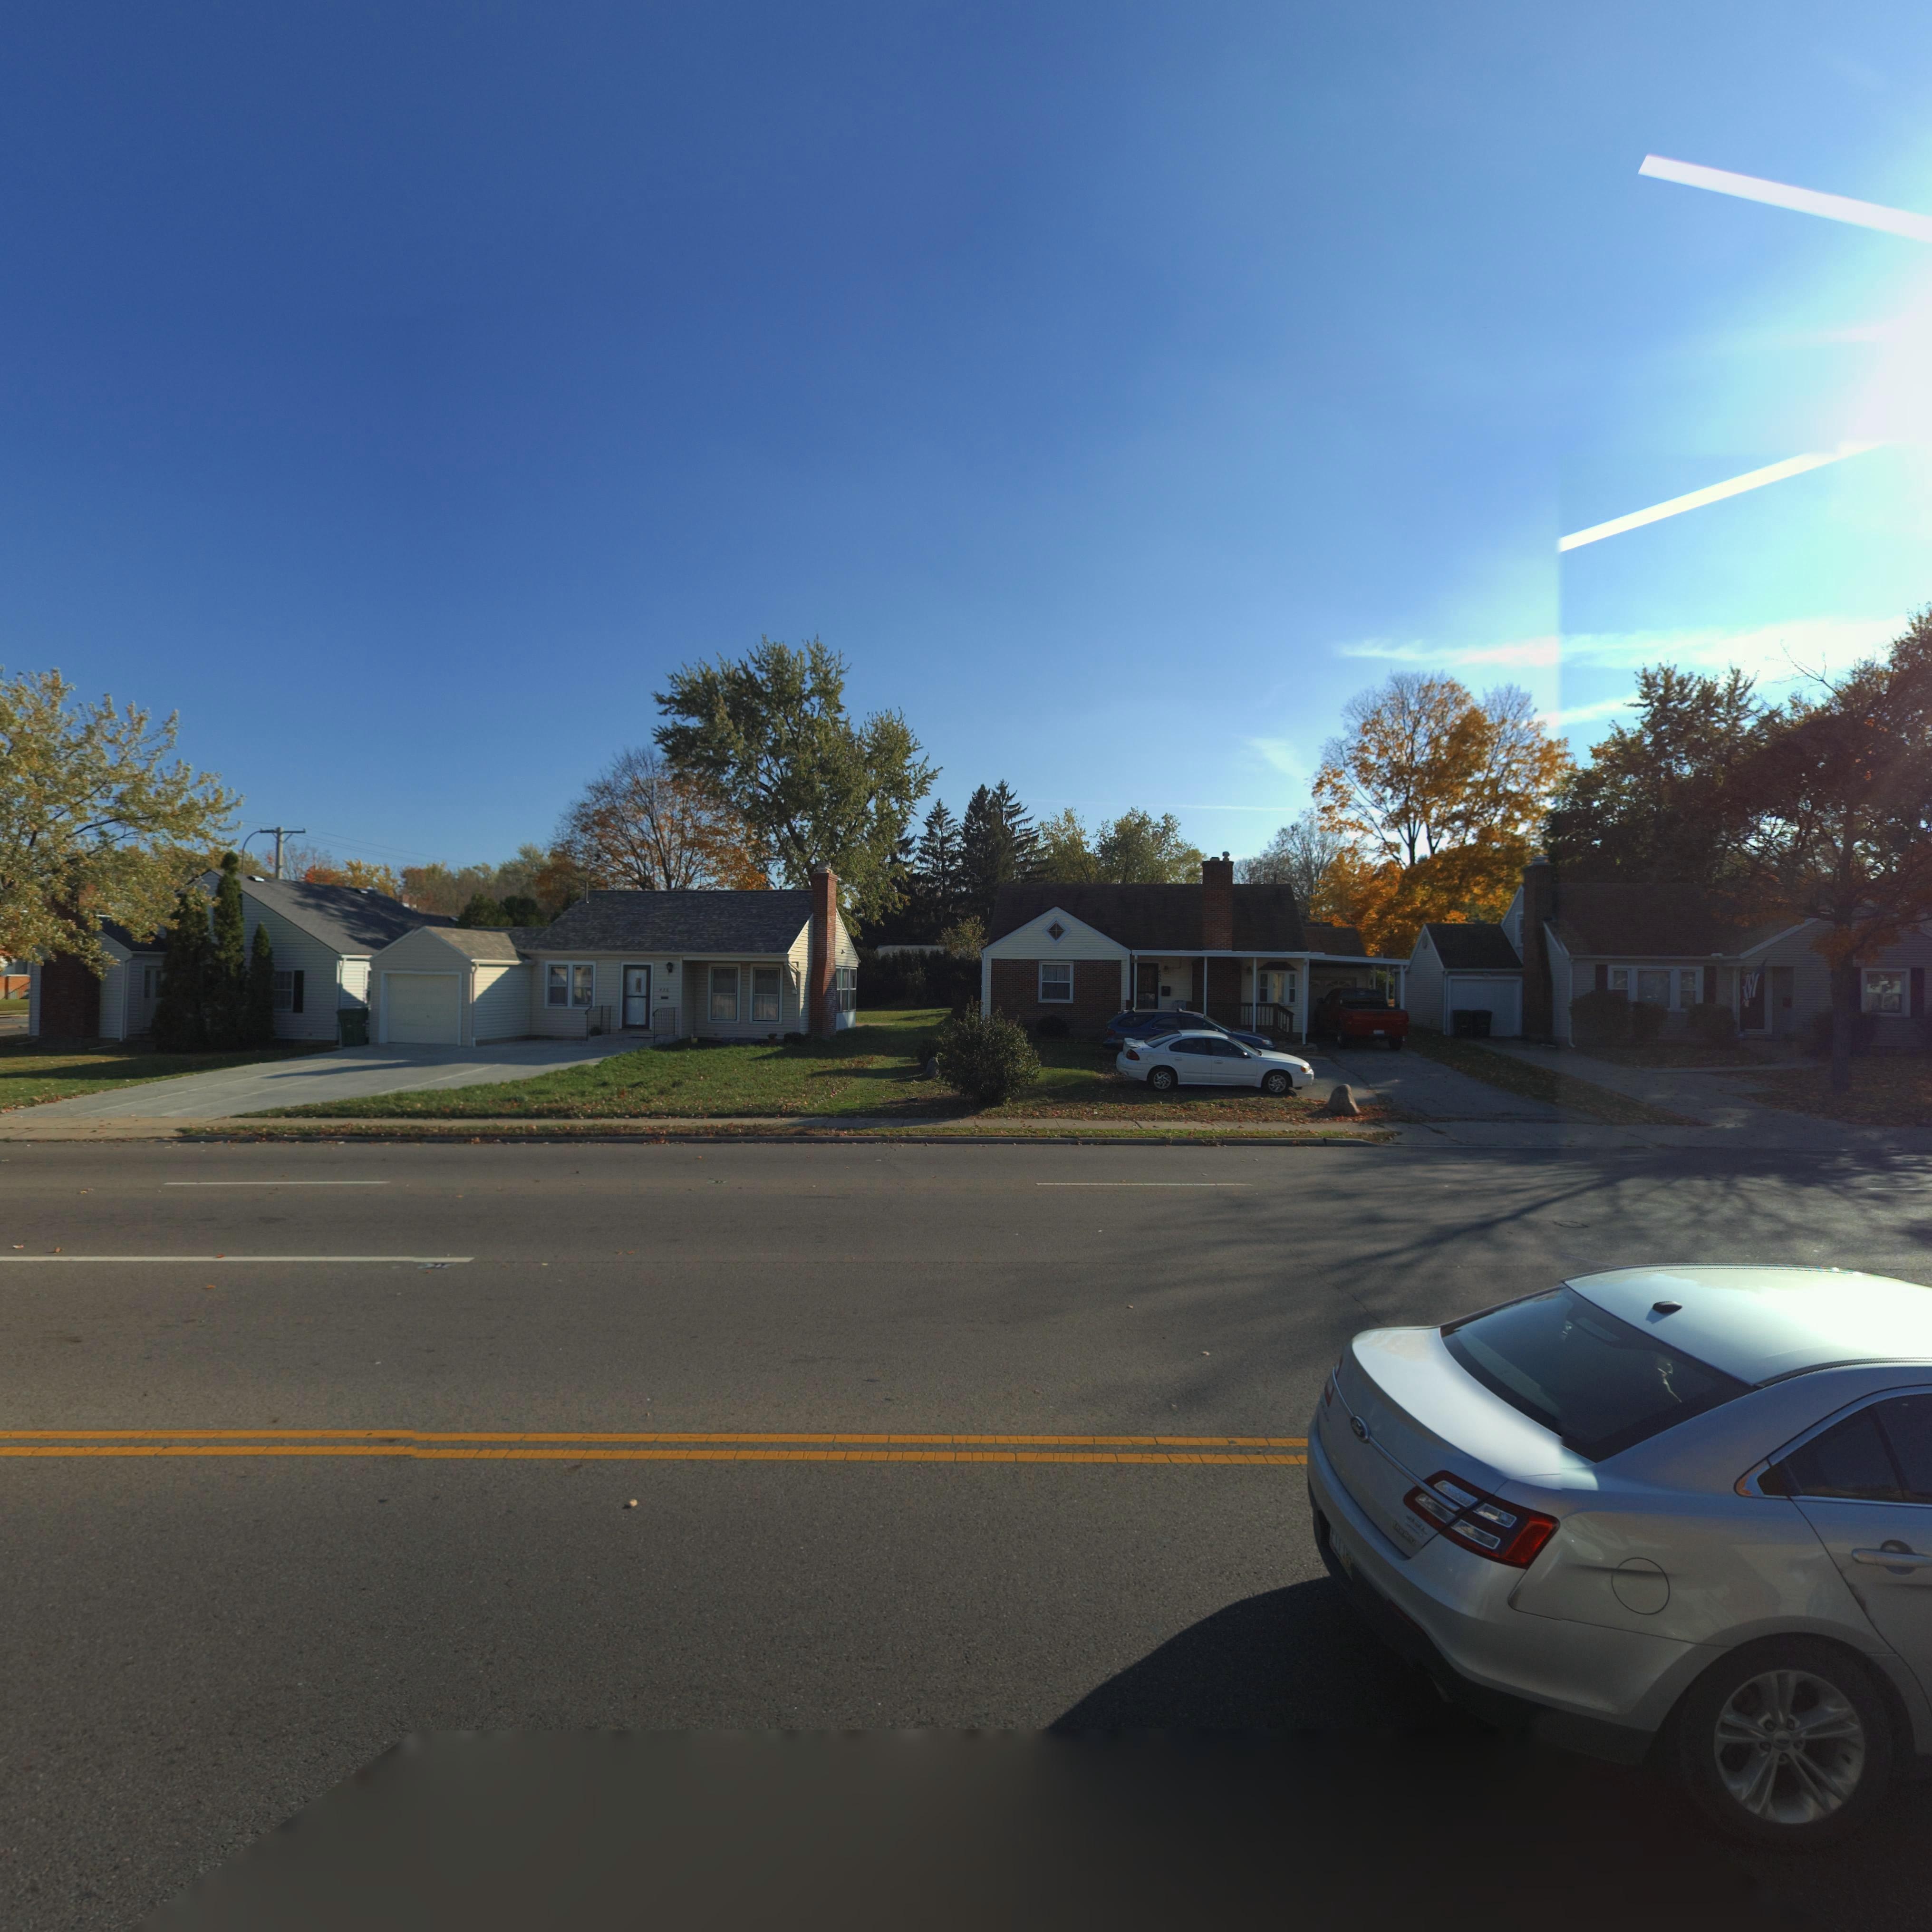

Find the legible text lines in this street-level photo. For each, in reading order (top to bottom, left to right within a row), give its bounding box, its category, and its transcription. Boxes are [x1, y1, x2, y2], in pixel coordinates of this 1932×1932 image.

[1157, 969, 1161, 982] StreetNumber: 432
[659, 987, 669, 993] StreetNumber: 436